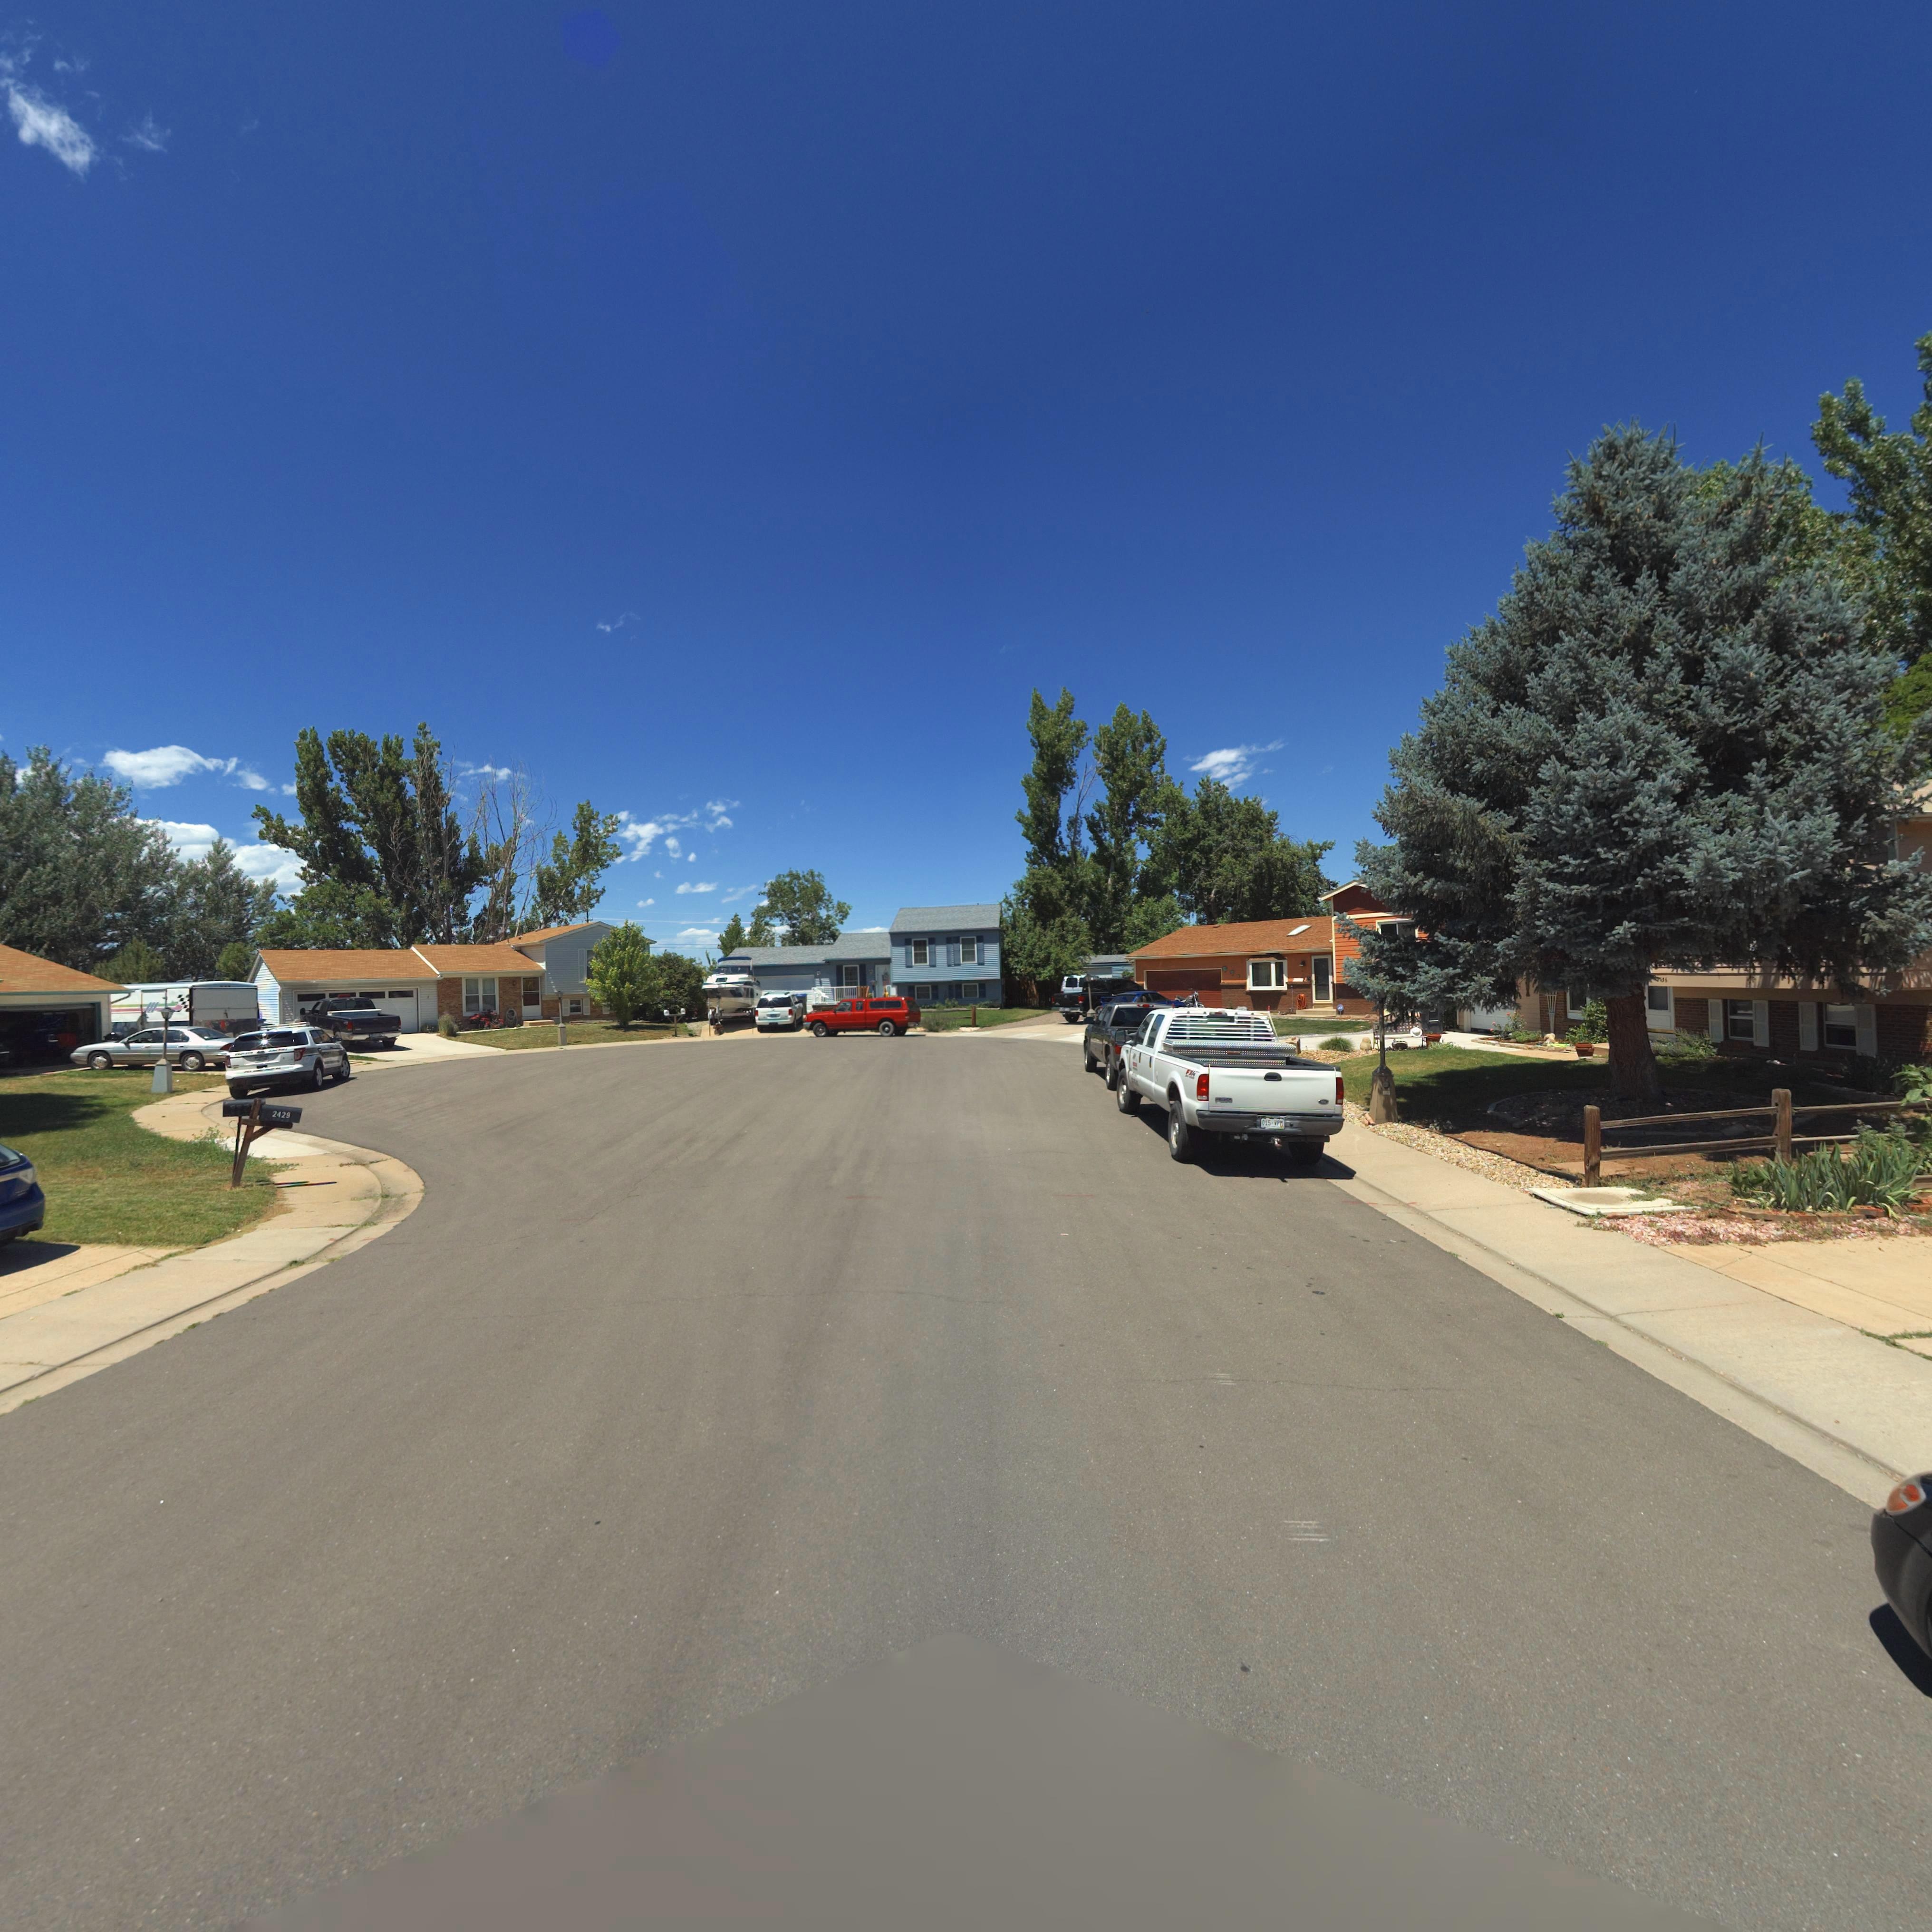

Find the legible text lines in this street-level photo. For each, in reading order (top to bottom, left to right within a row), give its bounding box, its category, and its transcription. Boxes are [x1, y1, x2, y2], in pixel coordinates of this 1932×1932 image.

[1656, 977, 1668, 982] StreetNumber: **56
[272, 1110, 291, 1119] StreetNumber: 2429